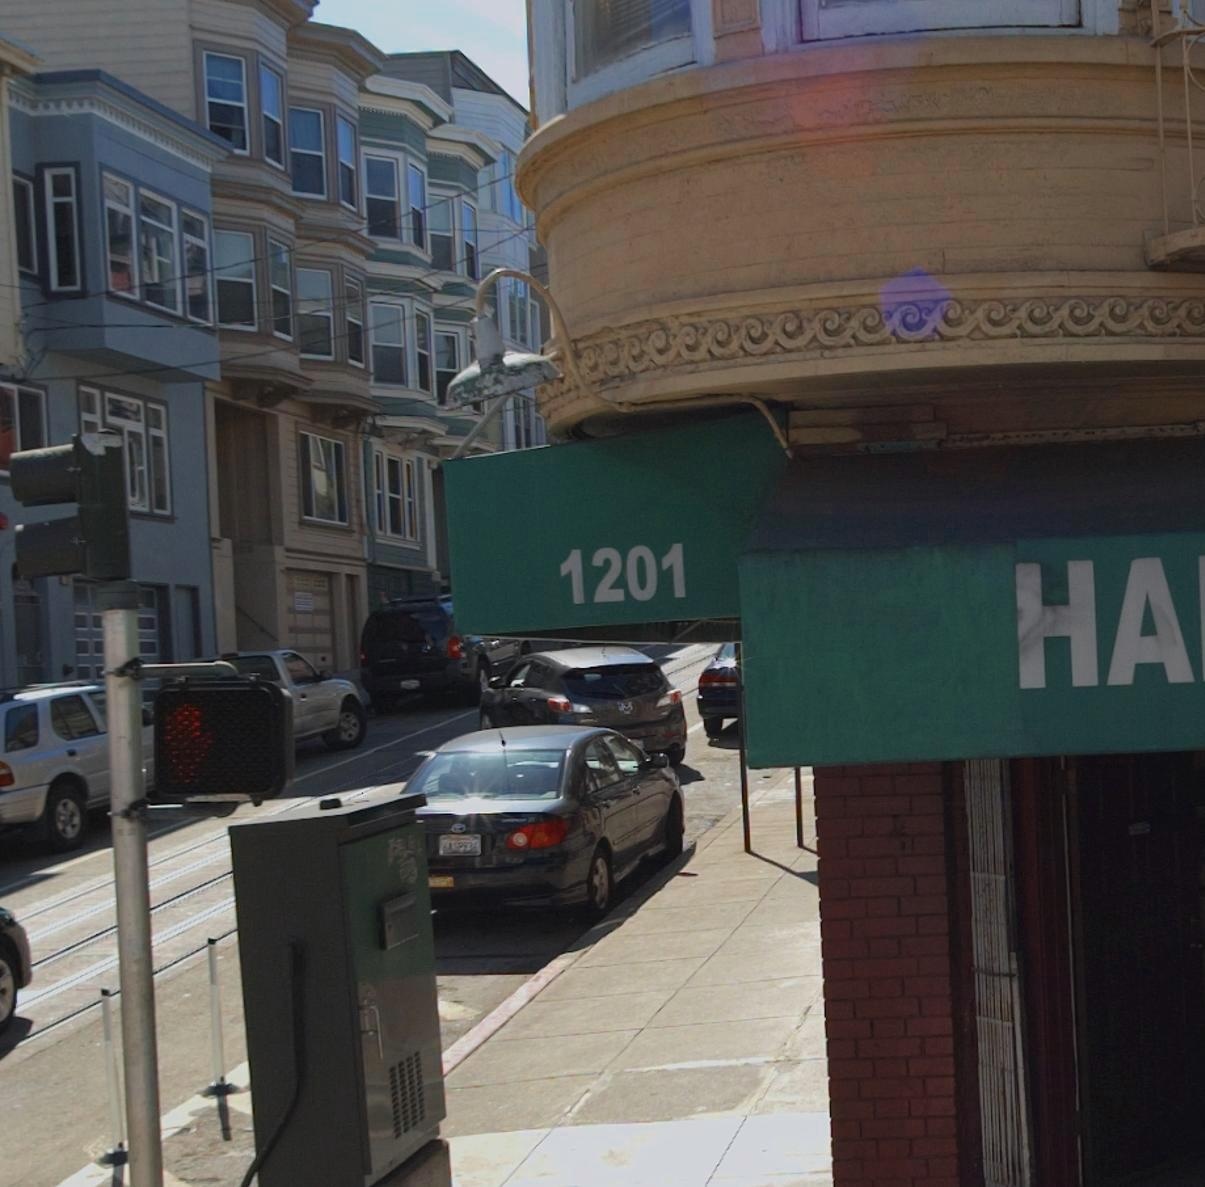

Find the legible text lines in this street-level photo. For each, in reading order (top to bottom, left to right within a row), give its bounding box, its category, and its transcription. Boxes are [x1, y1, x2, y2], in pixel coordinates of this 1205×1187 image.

[558, 541, 687, 606] StreetNumber: 1201
[1012, 554, 1198, 691] BusinessName: HA
[460, 841, 477, 852] None: 936